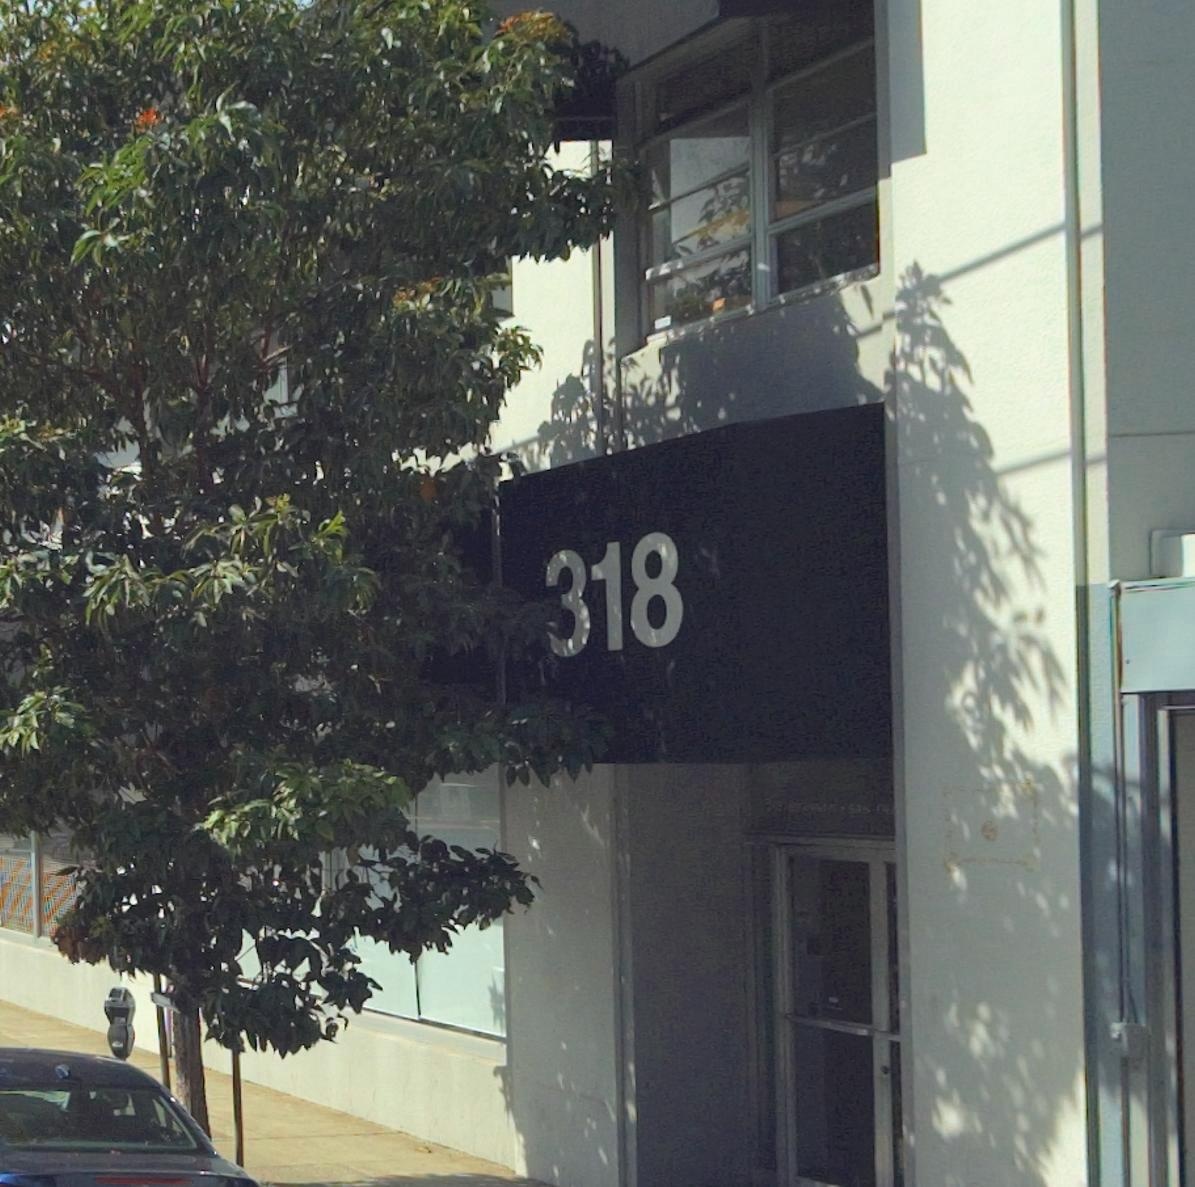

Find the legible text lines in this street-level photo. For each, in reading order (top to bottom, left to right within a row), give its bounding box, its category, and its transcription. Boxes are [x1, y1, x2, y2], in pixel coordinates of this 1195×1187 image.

[539, 522, 695, 666] StreetNumber: 318